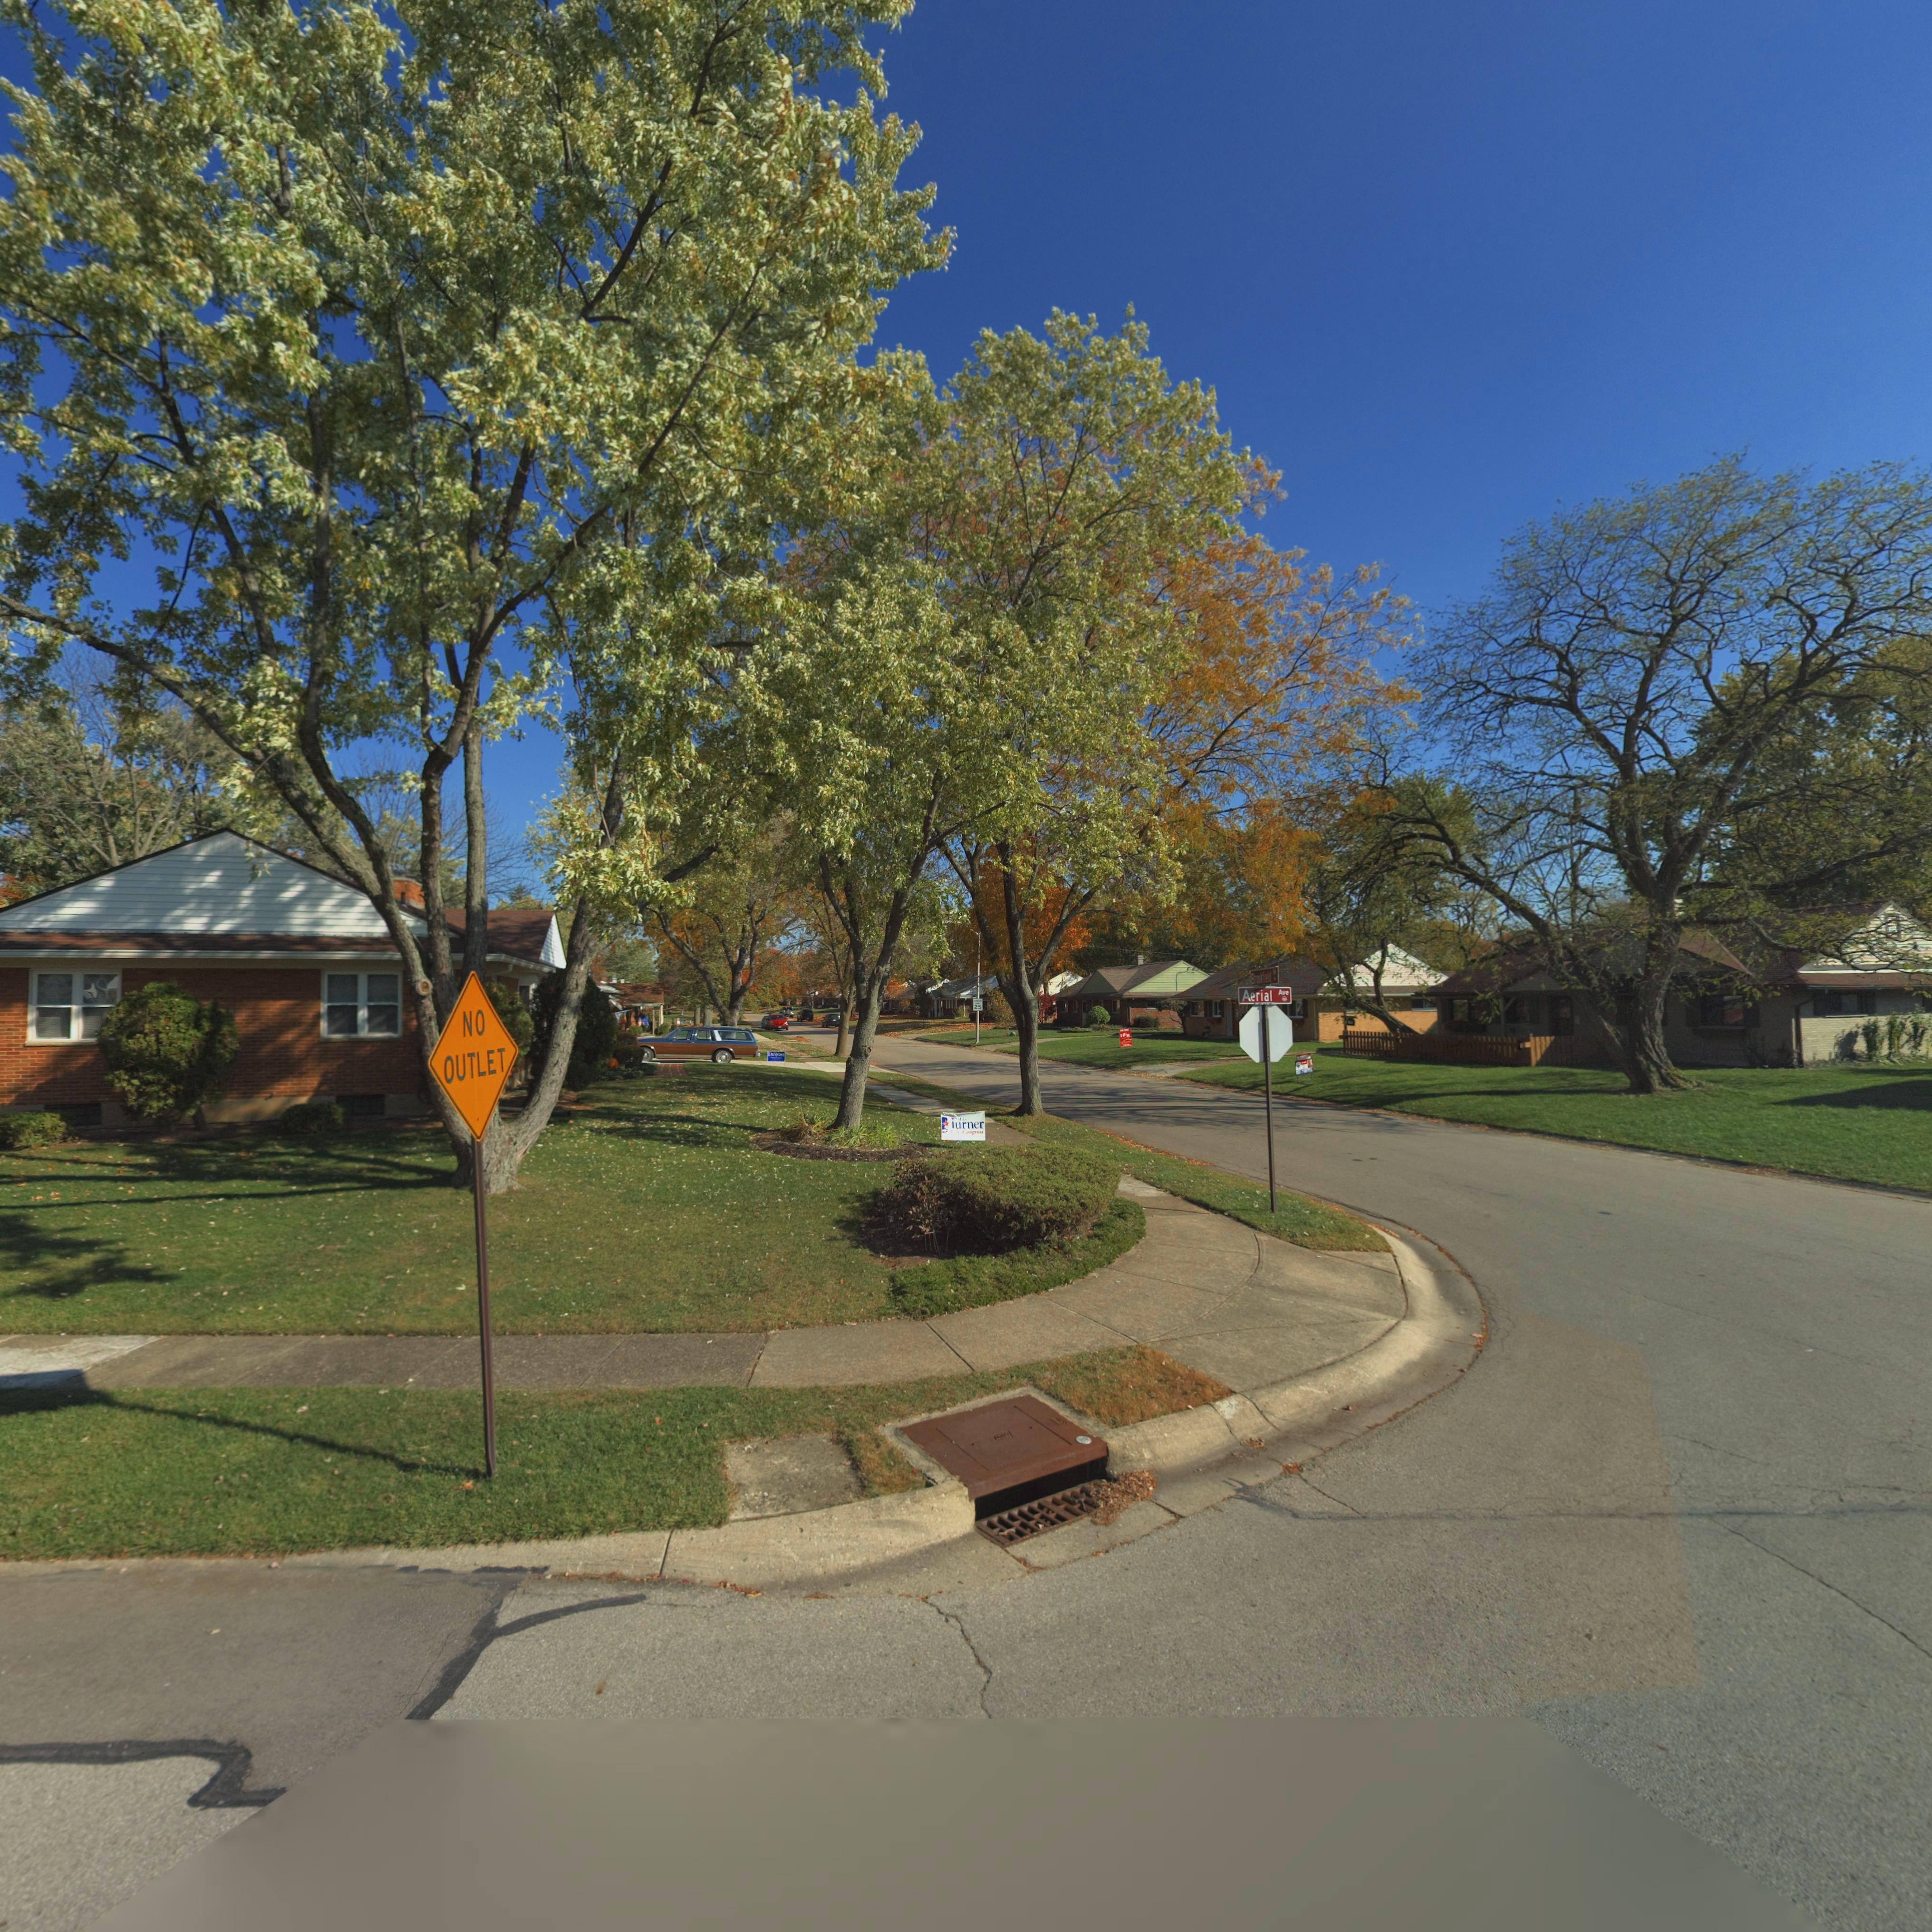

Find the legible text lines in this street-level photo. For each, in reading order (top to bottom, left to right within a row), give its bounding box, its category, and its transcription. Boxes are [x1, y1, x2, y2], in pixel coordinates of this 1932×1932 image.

[1250, 968, 1277, 985] StreetName: Broomfield Rd
[1241, 989, 1290, 1002] StreetName: Aerial Ave
[974, 1005, 982, 1010] None: 25
[462, 1009, 485, 1038] None: NO
[1120, 1034, 1130, 1037] None: H*R
[768, 1052, 771, 1056] None: L
[443, 1047, 506, 1084] None: OUTLET
[955, 1121, 984, 1130] None: urner
[965, 1130, 983, 1136] None: ongress